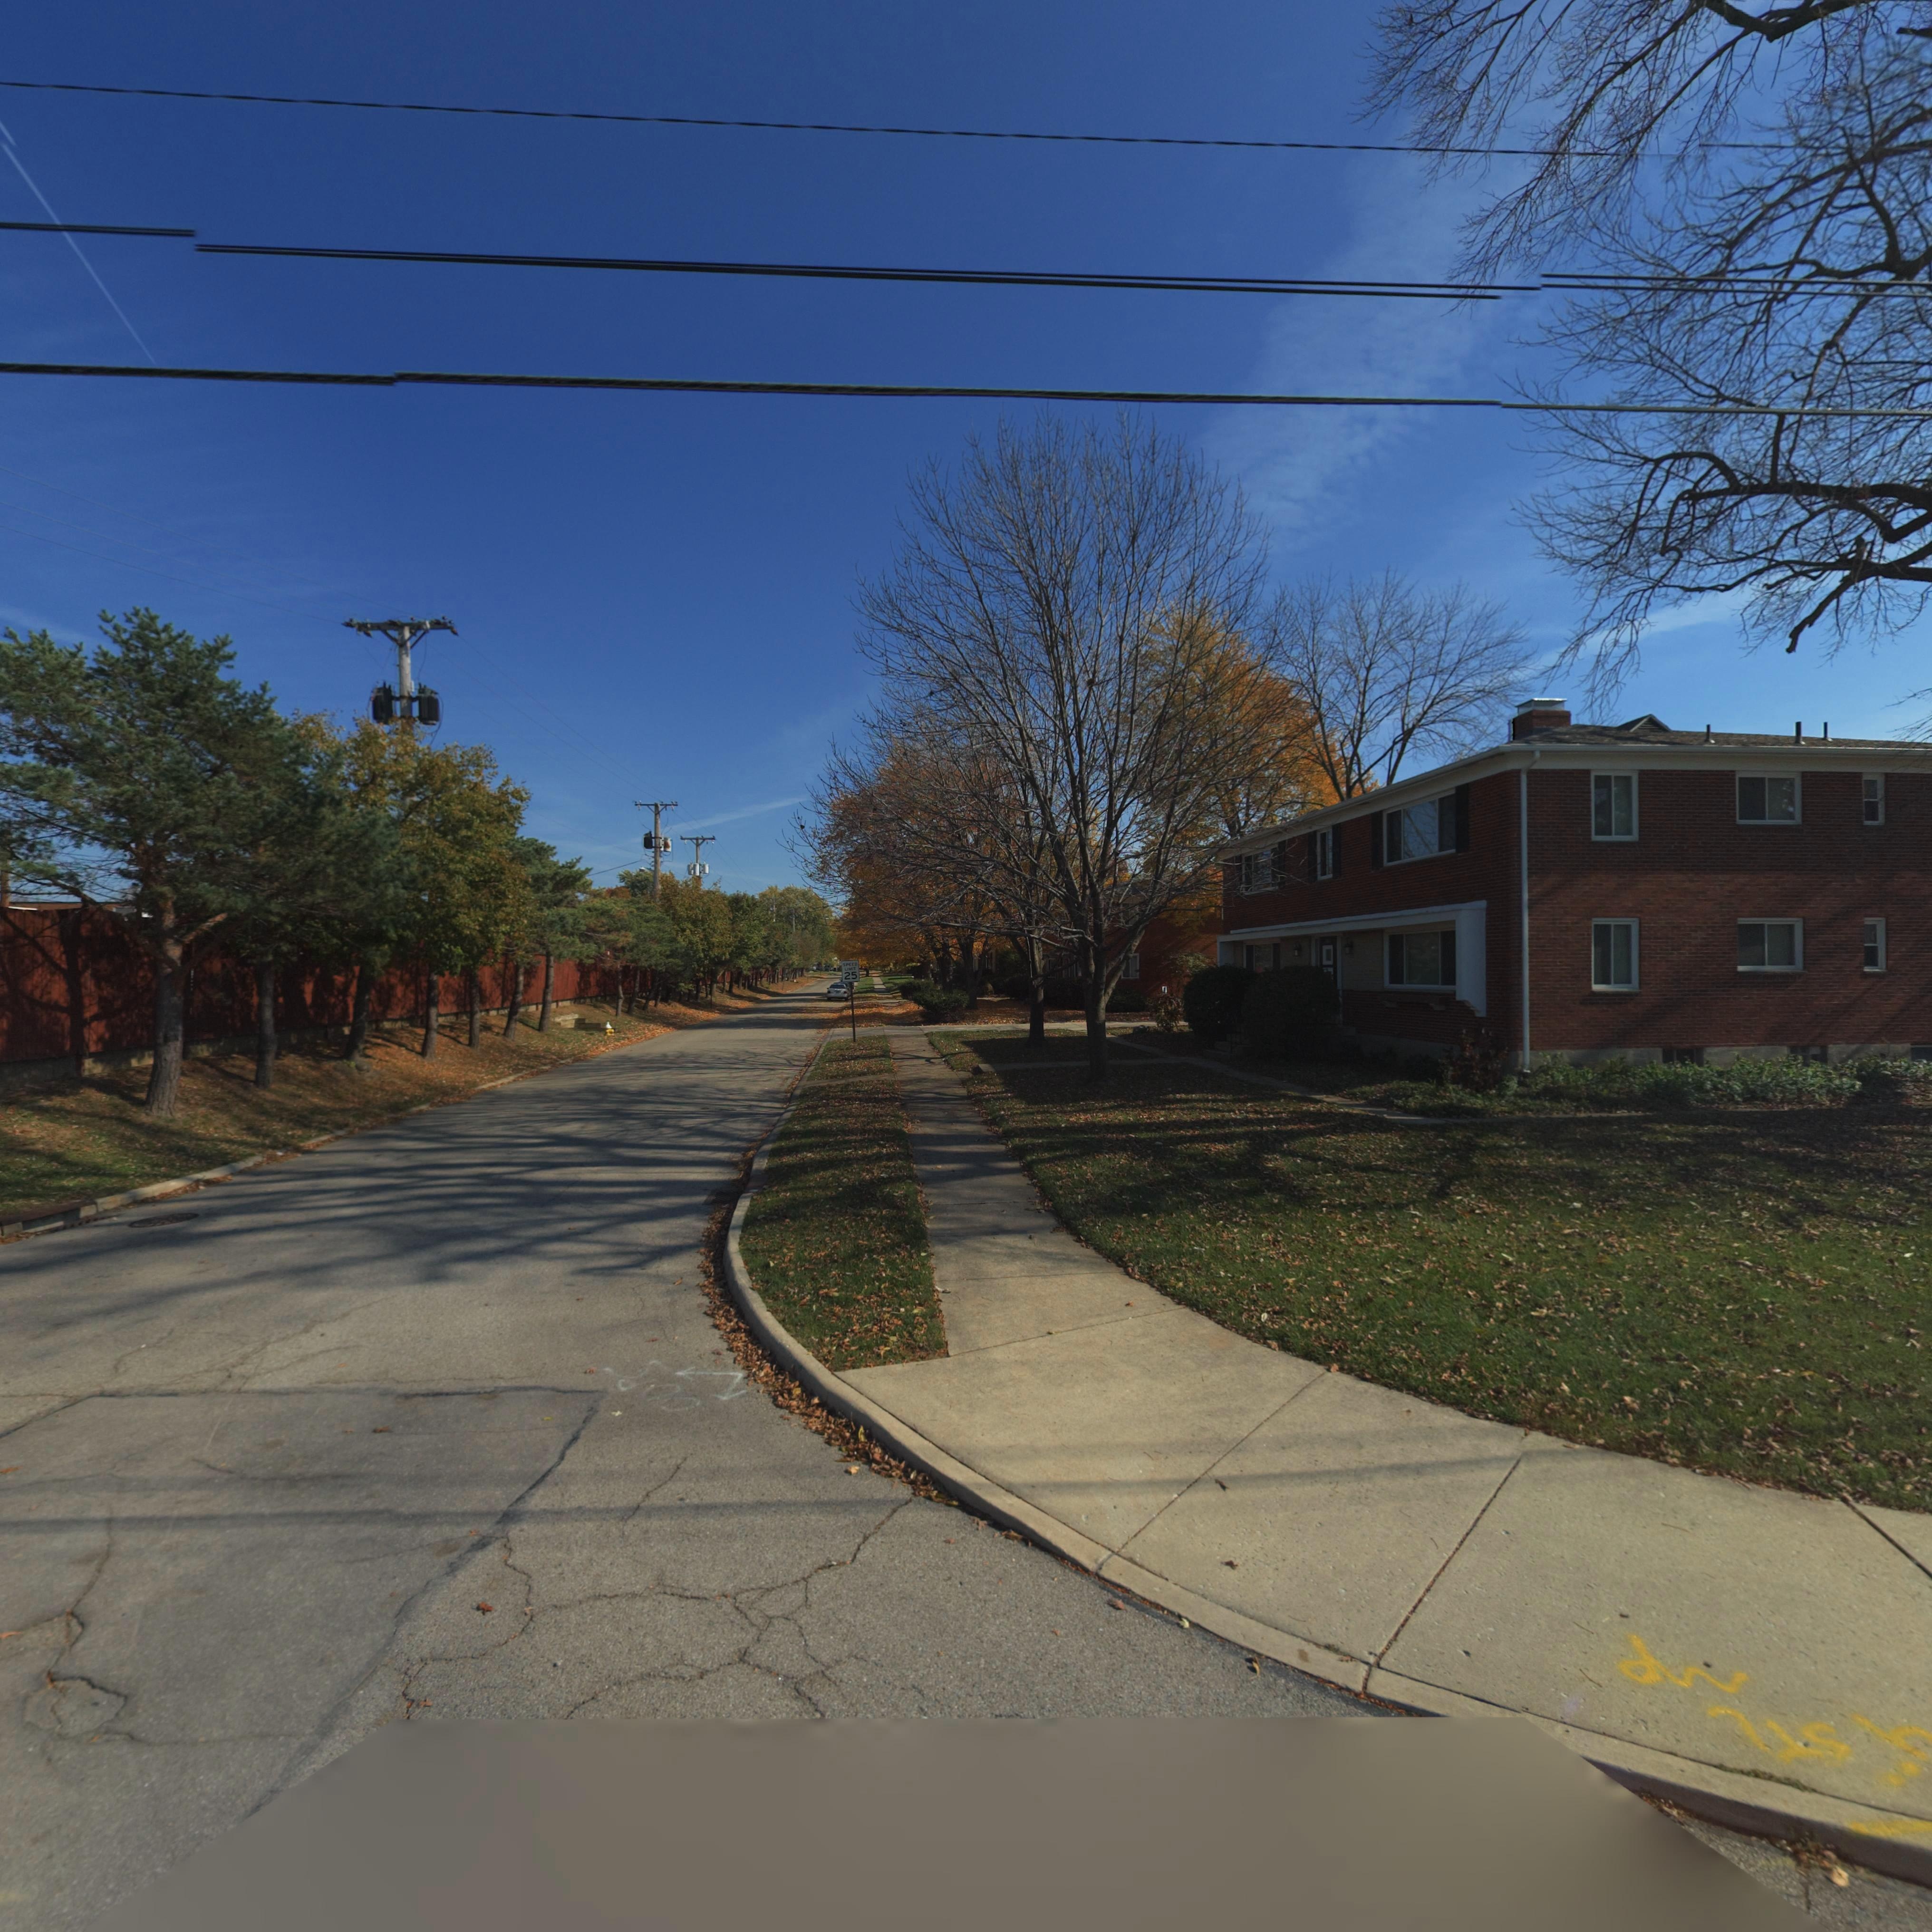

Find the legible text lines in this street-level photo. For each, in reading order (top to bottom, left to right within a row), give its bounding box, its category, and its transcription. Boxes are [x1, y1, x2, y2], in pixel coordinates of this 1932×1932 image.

[842, 962, 858, 967] None: SPEED
[844, 966, 857, 971] None: LIMIT
[844, 971, 858, 980] None: 25